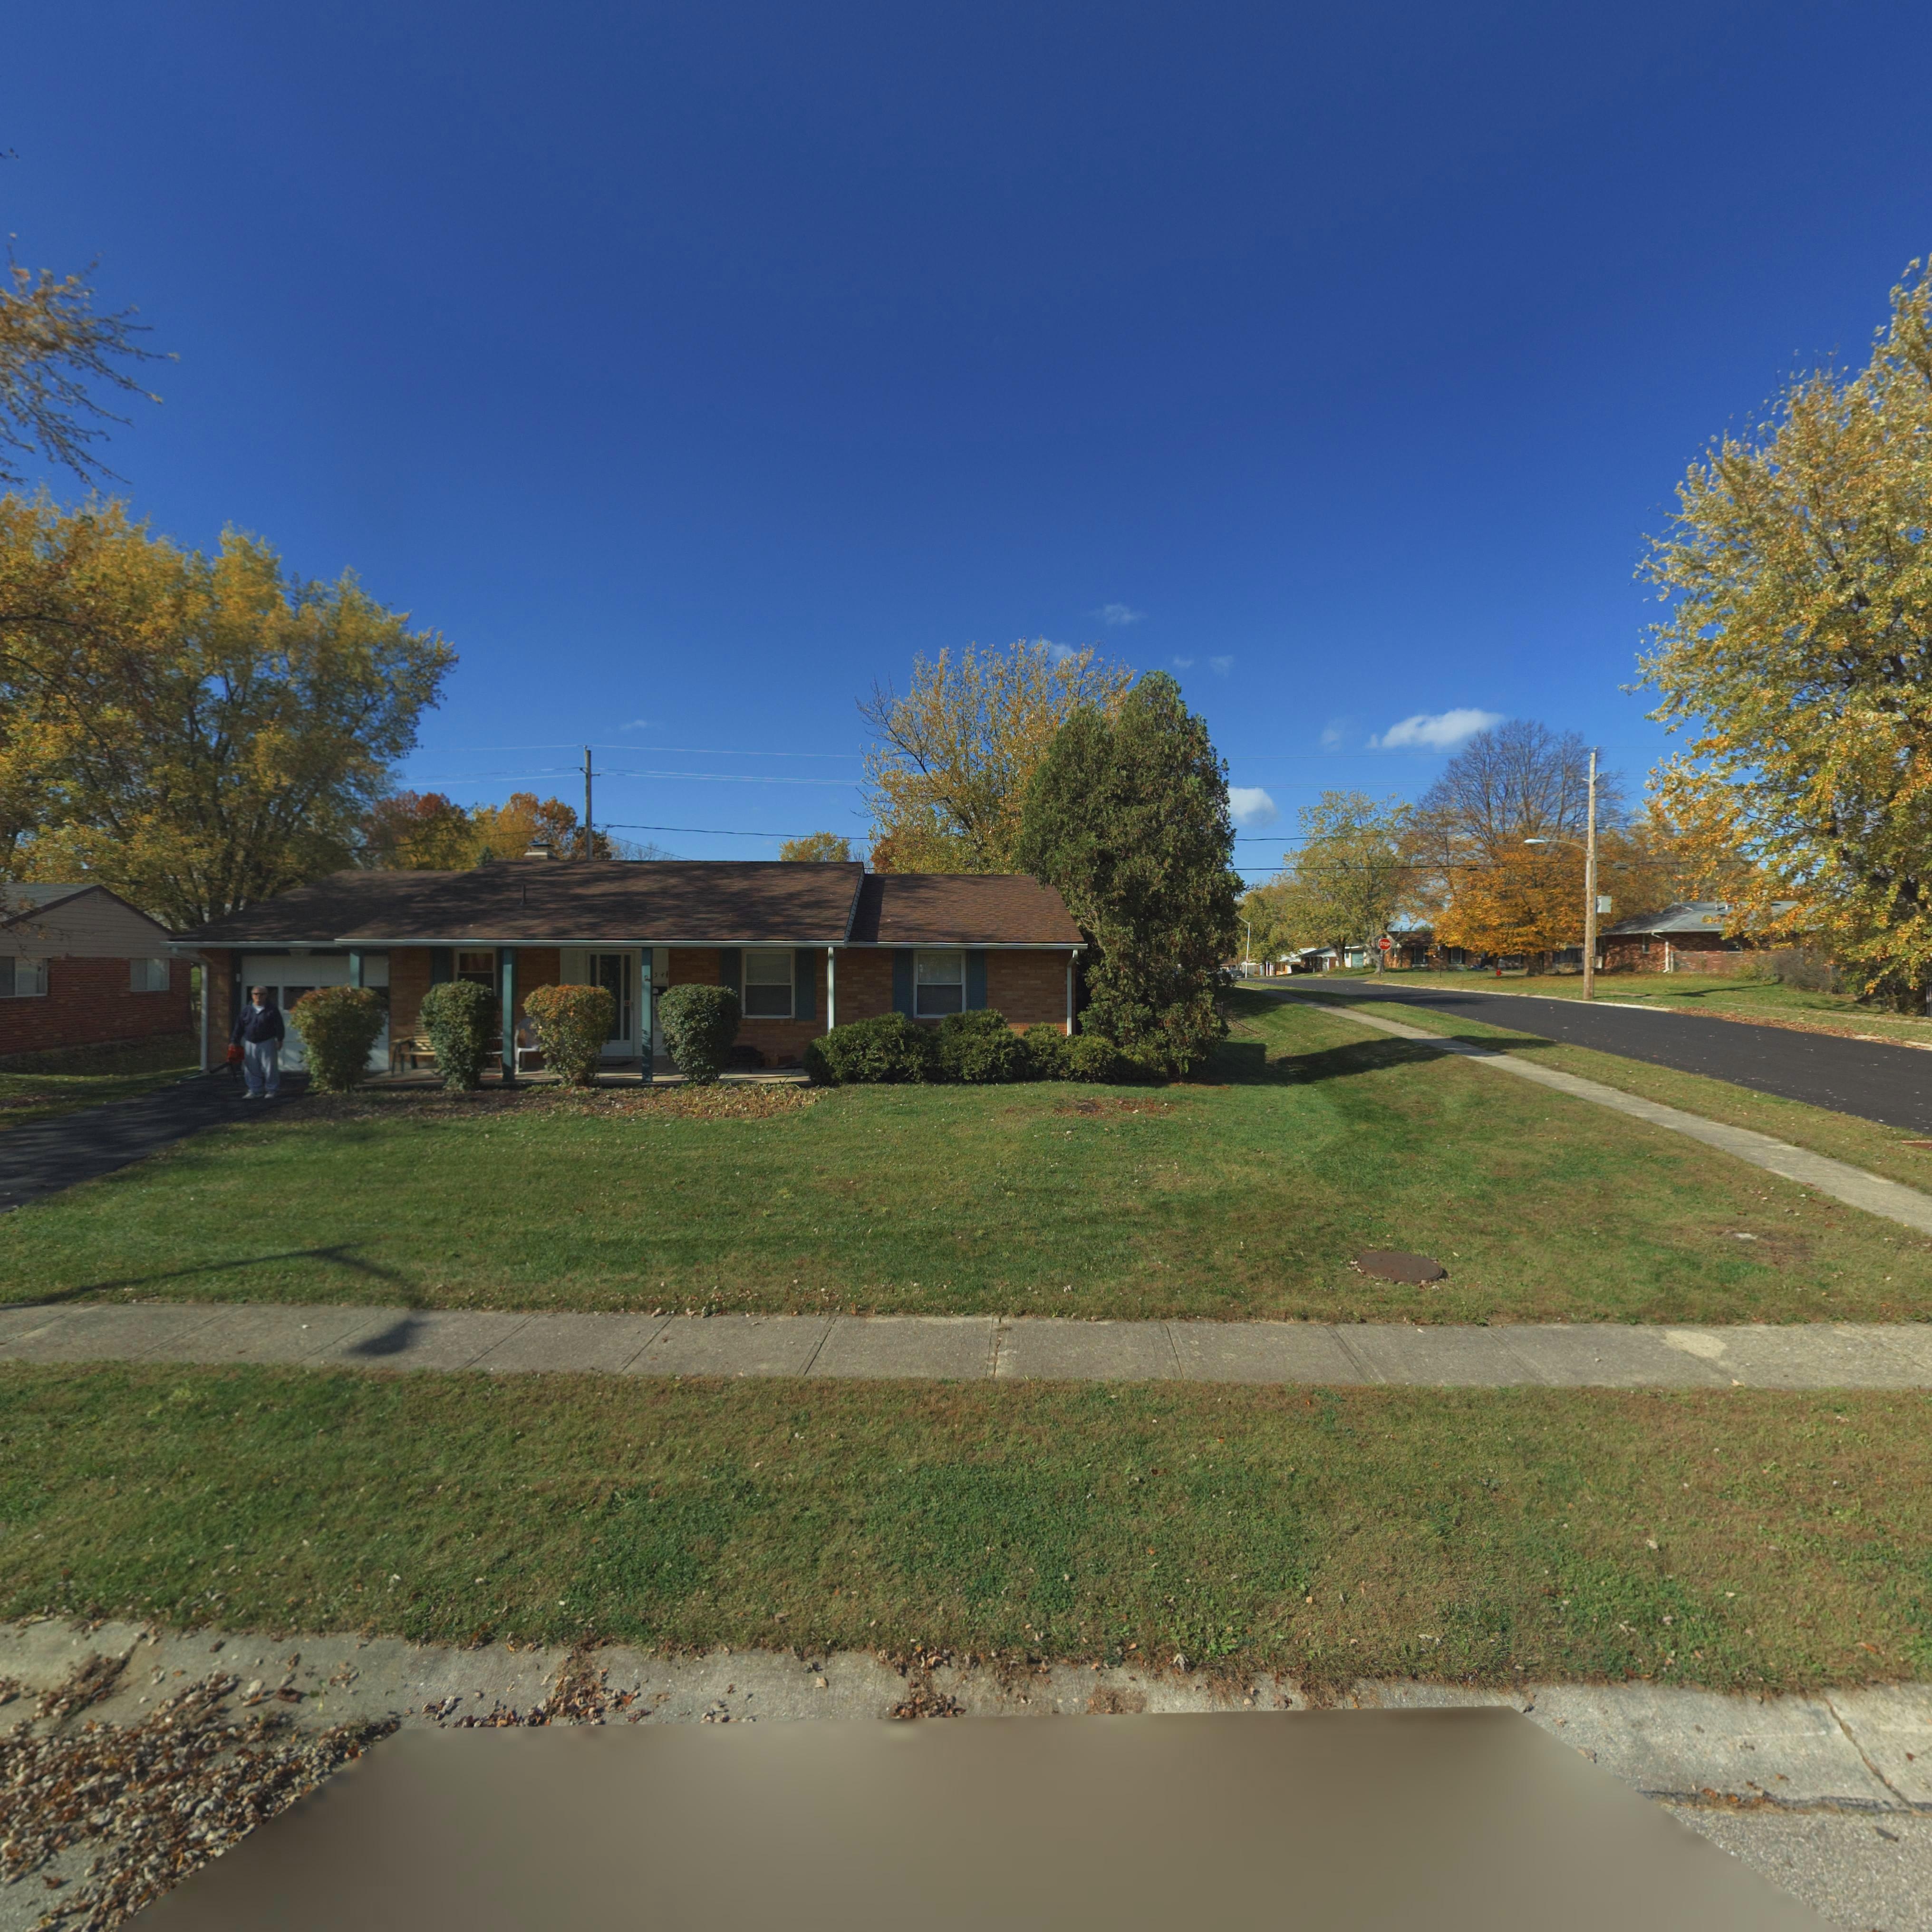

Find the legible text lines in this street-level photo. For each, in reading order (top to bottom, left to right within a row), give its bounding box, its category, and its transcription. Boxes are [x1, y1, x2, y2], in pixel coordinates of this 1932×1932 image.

[653, 972, 666, 979] StreetNumber: 54